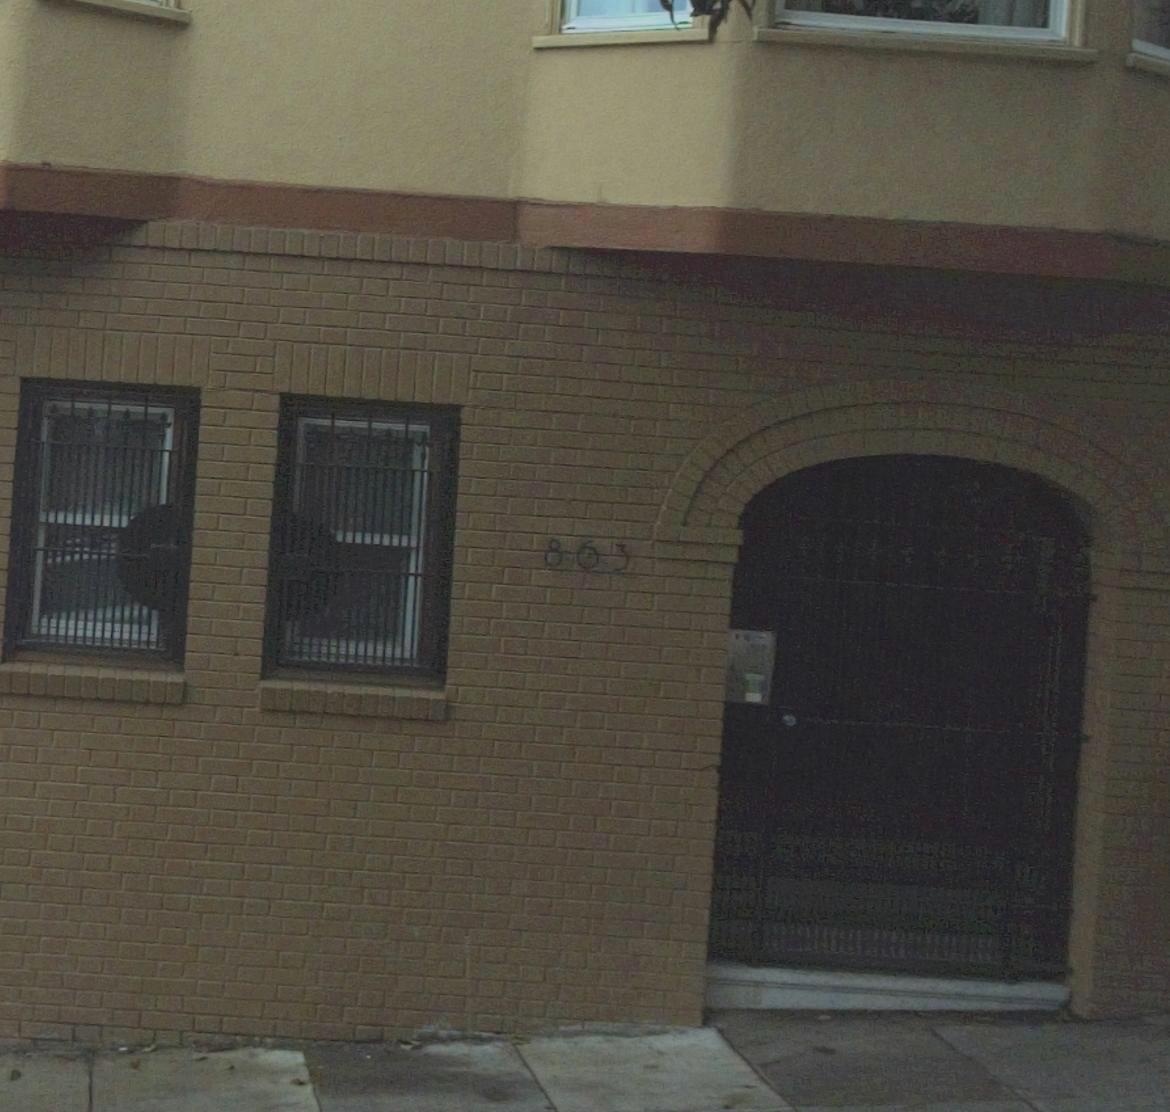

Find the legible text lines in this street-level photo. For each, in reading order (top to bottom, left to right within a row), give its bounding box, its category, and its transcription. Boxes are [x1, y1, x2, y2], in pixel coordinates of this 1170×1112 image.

[540, 534, 634, 575] StreetNumber: 863